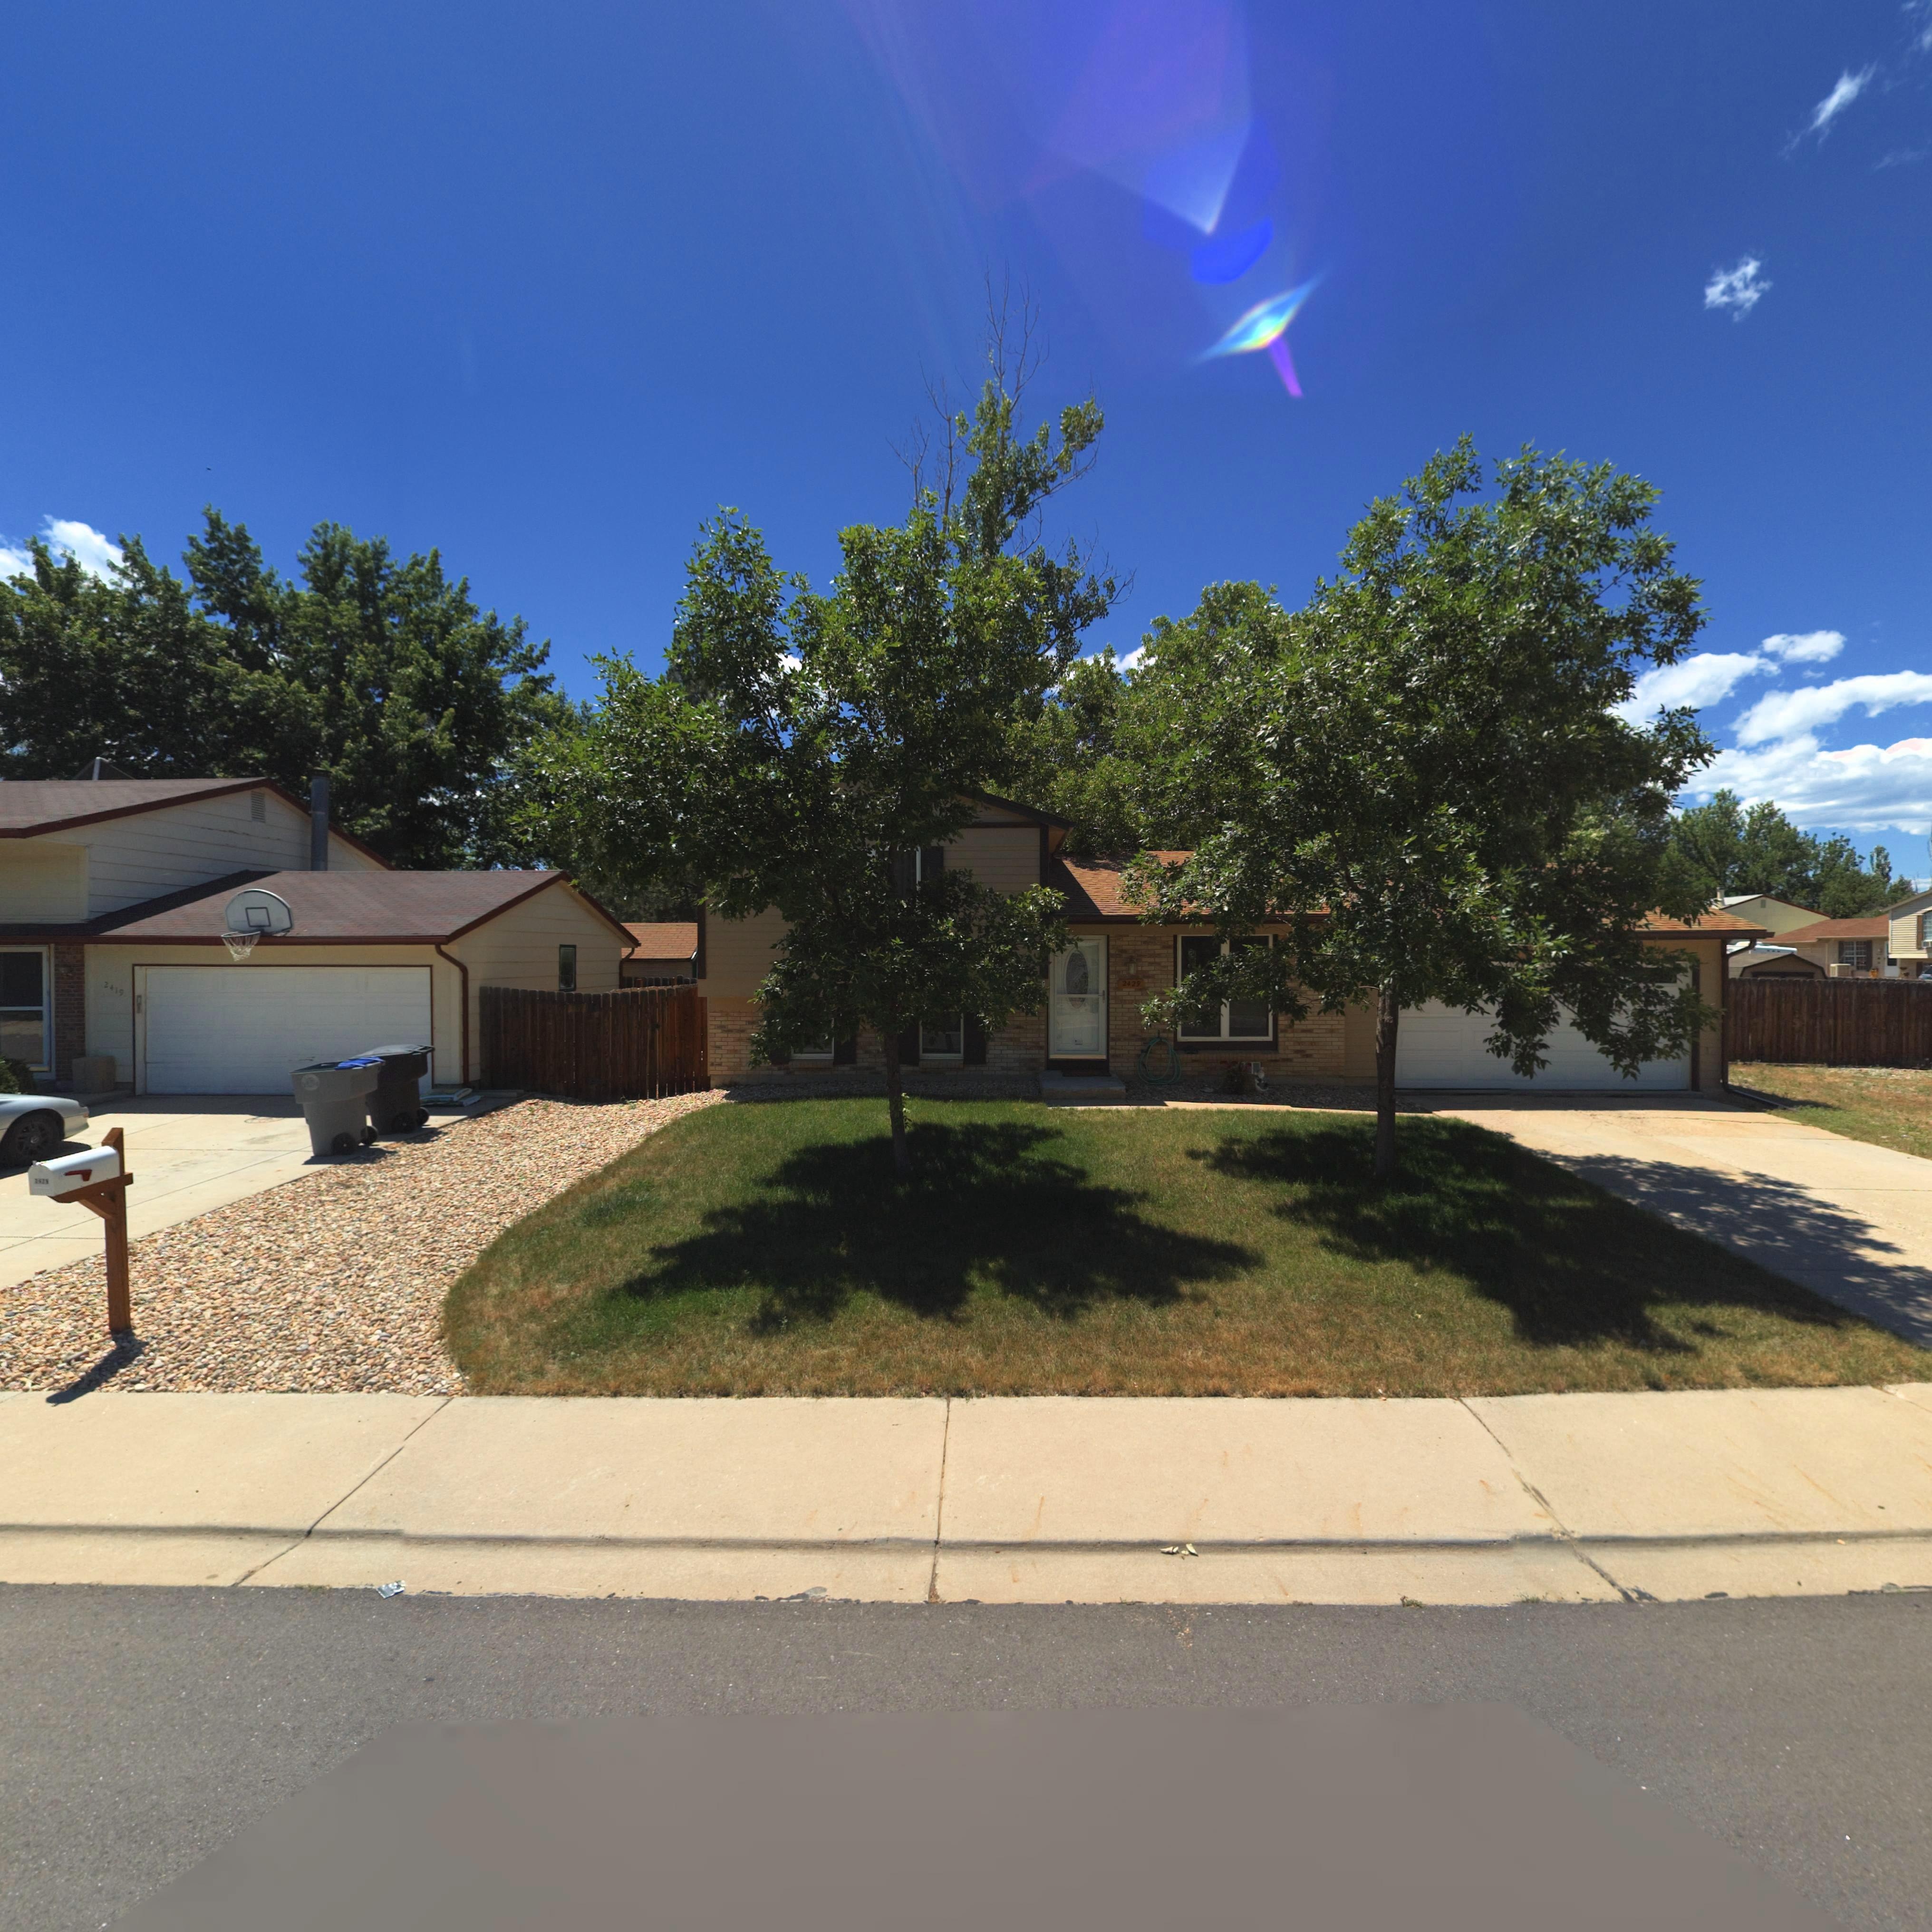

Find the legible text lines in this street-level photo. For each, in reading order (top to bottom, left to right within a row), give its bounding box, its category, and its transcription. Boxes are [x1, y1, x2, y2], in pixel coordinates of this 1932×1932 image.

[1122, 980, 1140, 986] StreetNumber: 2429
[104, 981, 124, 996] StreetNumber: 2419
[34, 1178, 48, 1184] StreetNumber: 24**